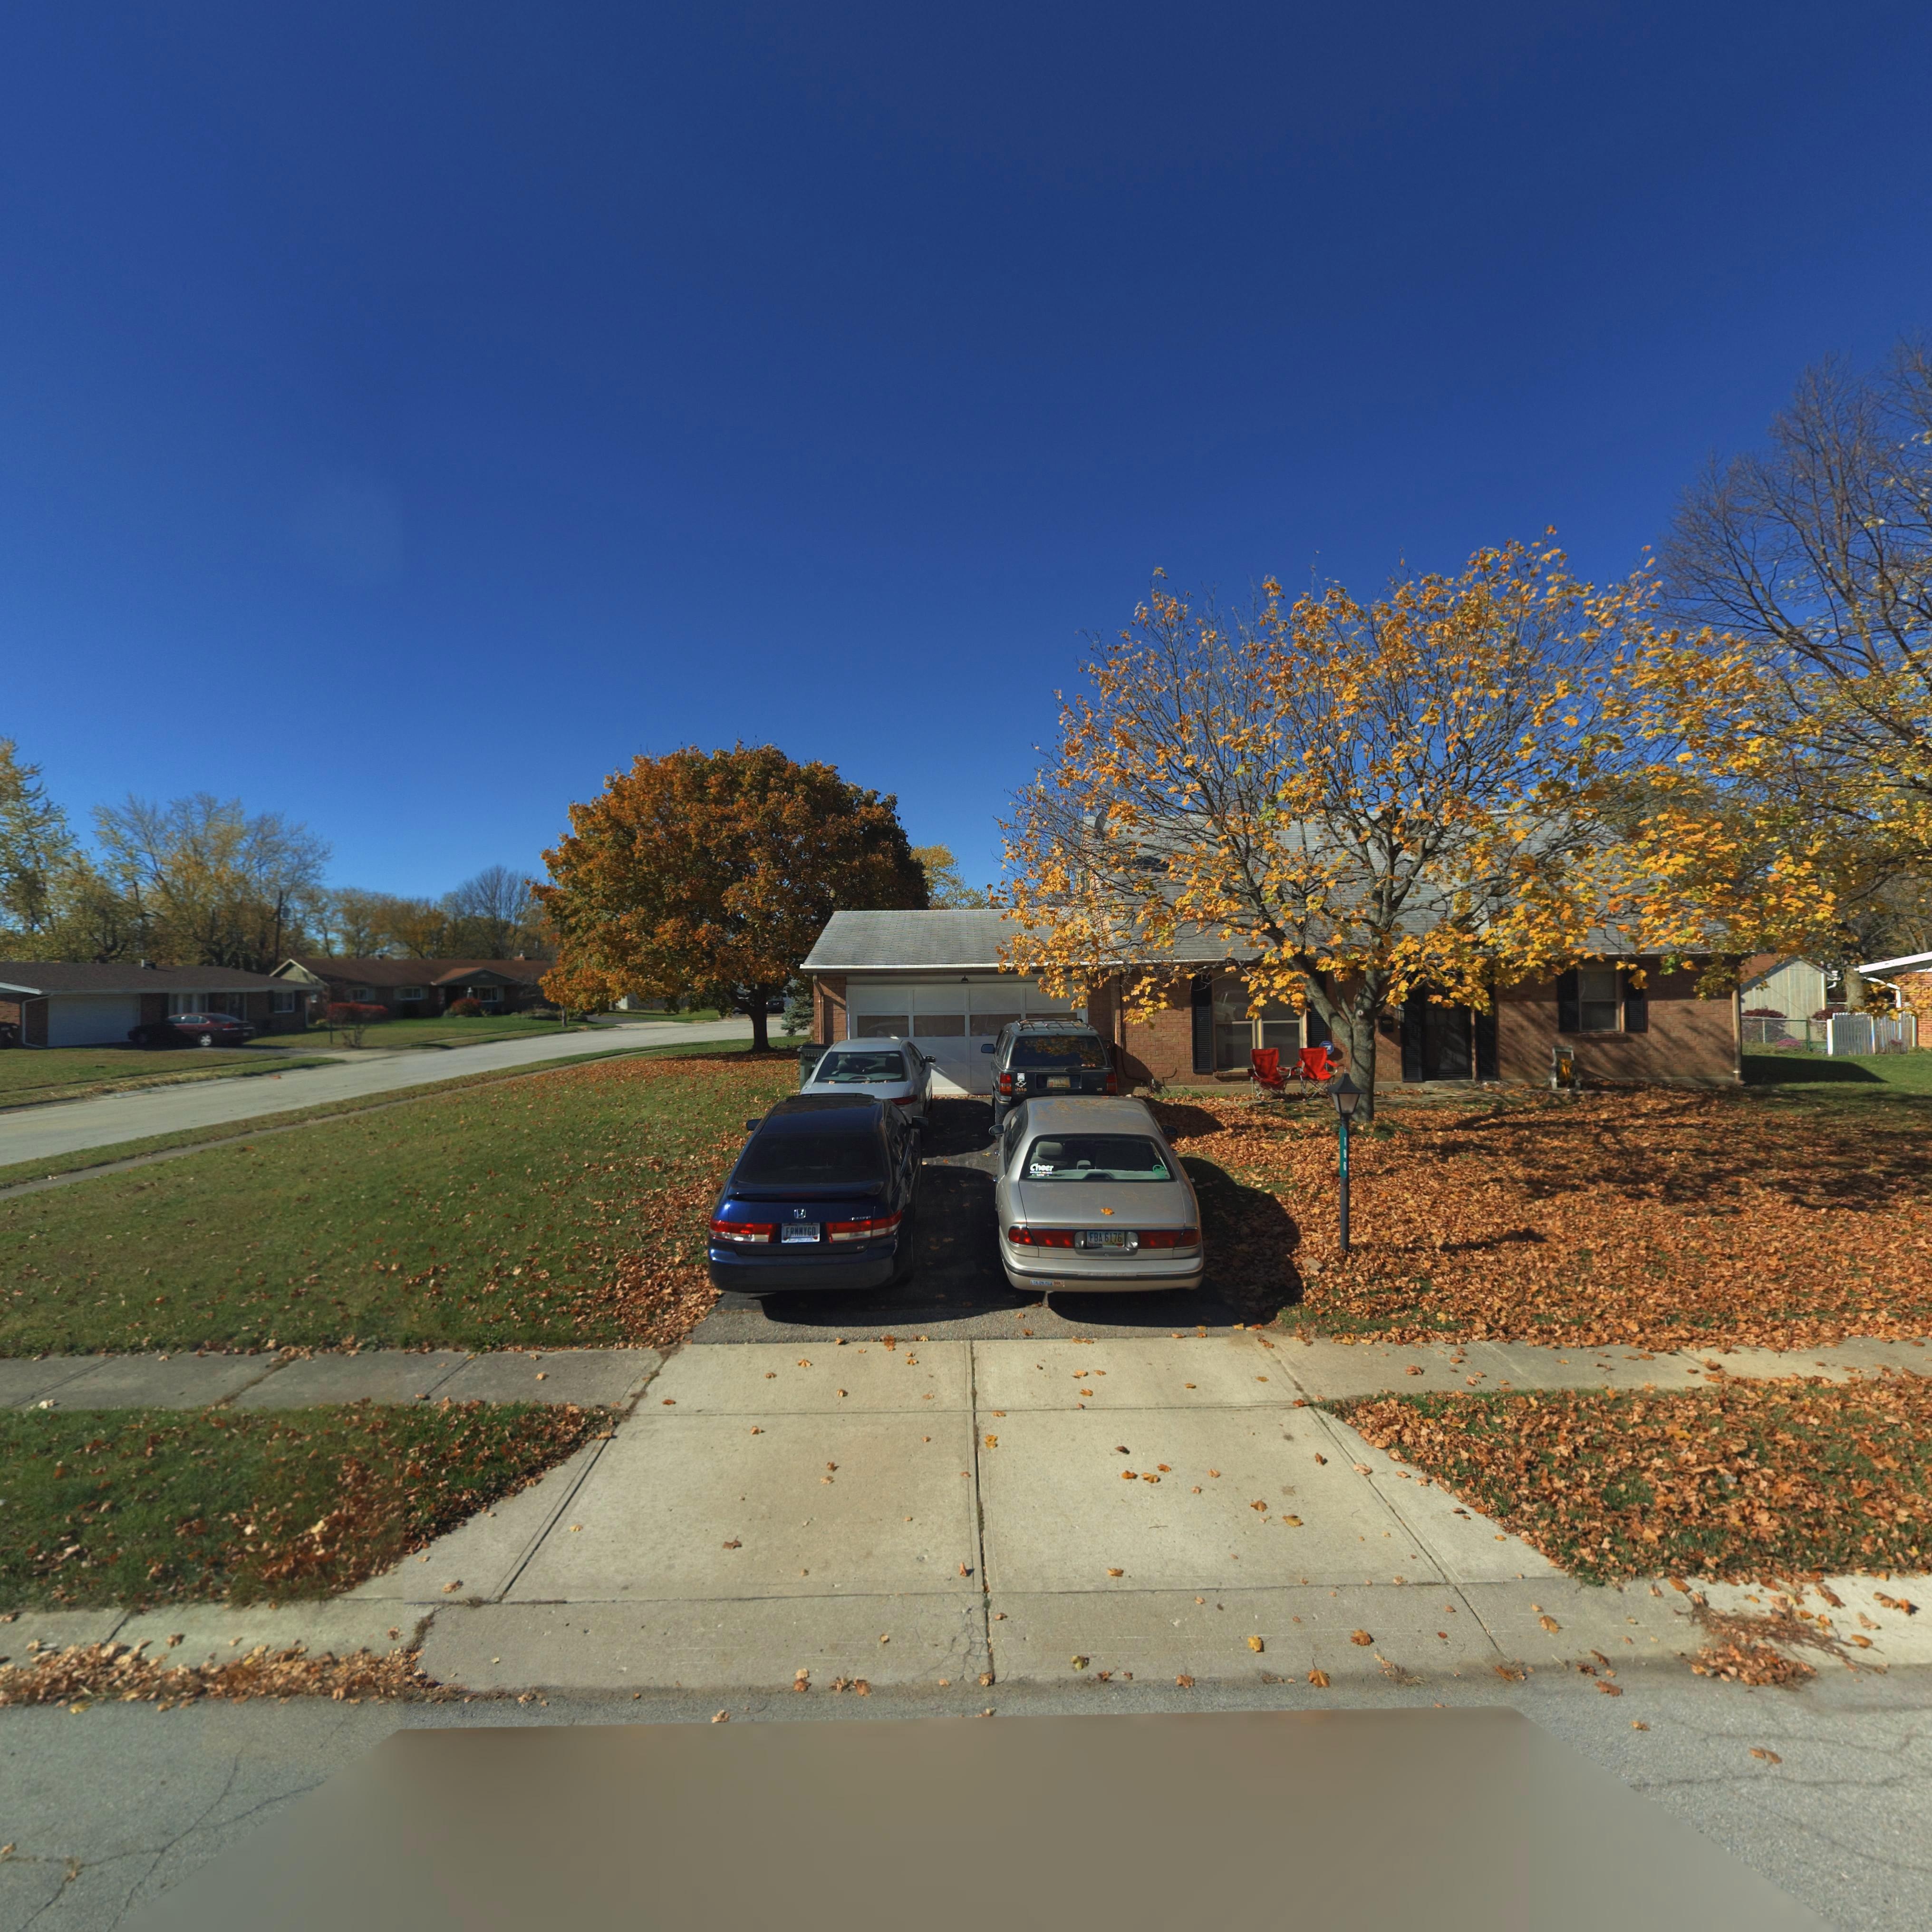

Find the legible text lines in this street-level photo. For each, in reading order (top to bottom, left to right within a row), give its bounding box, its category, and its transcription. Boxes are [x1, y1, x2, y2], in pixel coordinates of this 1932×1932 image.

[1343, 1136, 1348, 1172] StreetNumber: 196